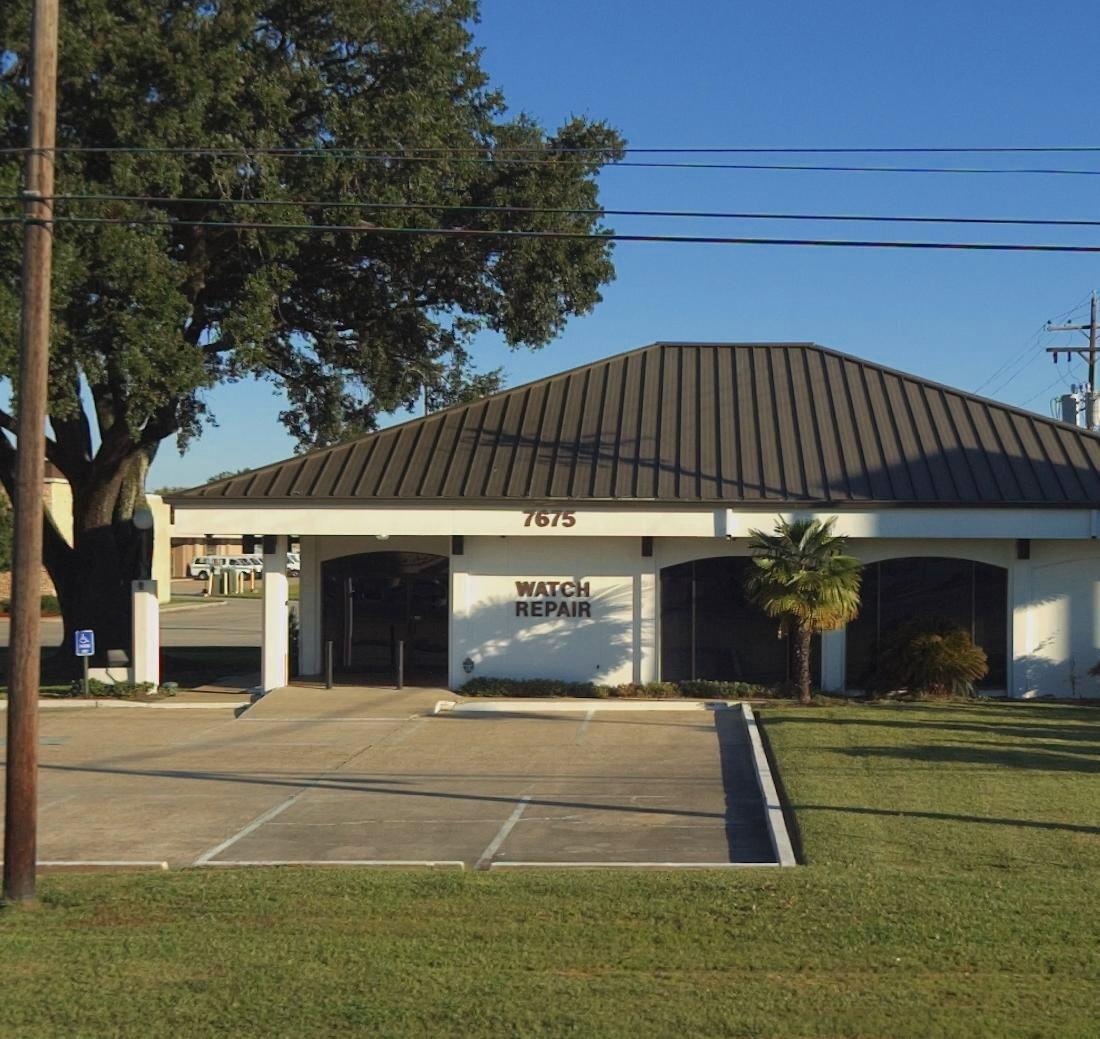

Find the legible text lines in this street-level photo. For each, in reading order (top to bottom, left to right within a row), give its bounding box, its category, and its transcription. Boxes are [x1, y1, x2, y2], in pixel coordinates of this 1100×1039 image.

[520, 508, 578, 529] StreetNumber: 7675
[513, 579, 592, 599] None: WATCH
[513, 599, 593, 619] None: REPAIR